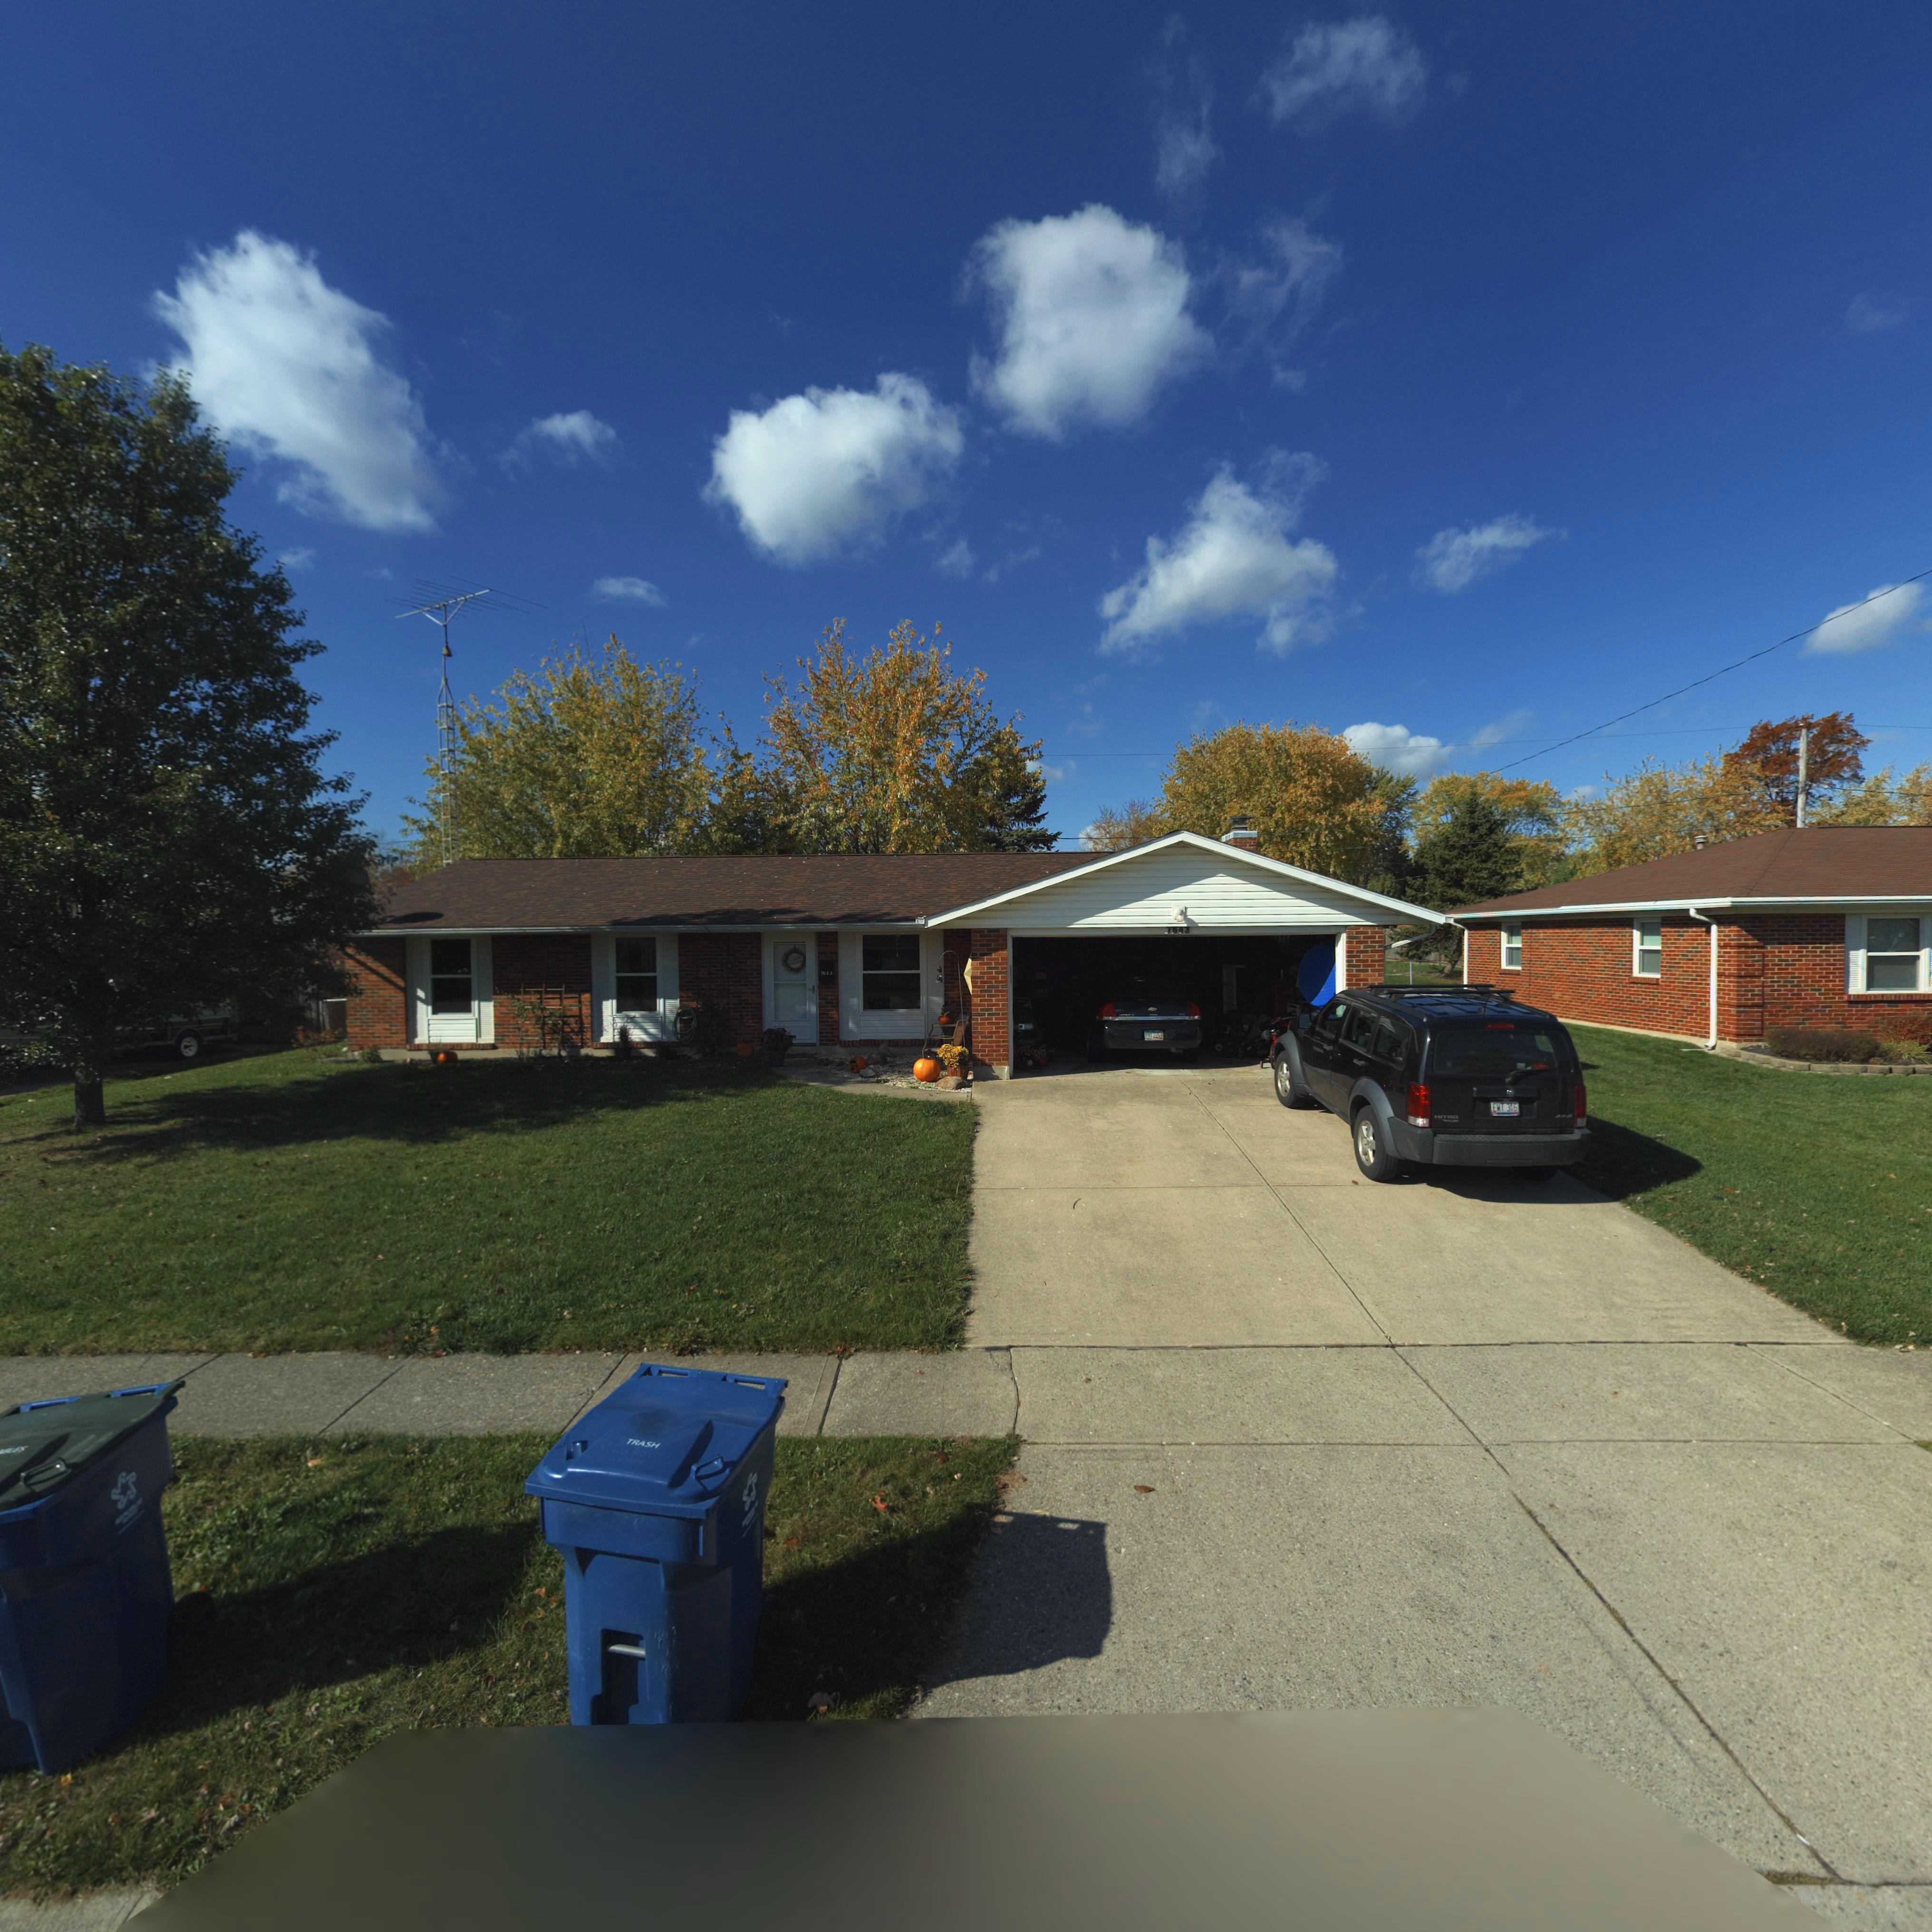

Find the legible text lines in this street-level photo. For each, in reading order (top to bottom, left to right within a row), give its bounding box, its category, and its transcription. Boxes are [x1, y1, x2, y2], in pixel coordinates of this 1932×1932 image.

[820, 970, 833, 976] StreetNumber: 764*